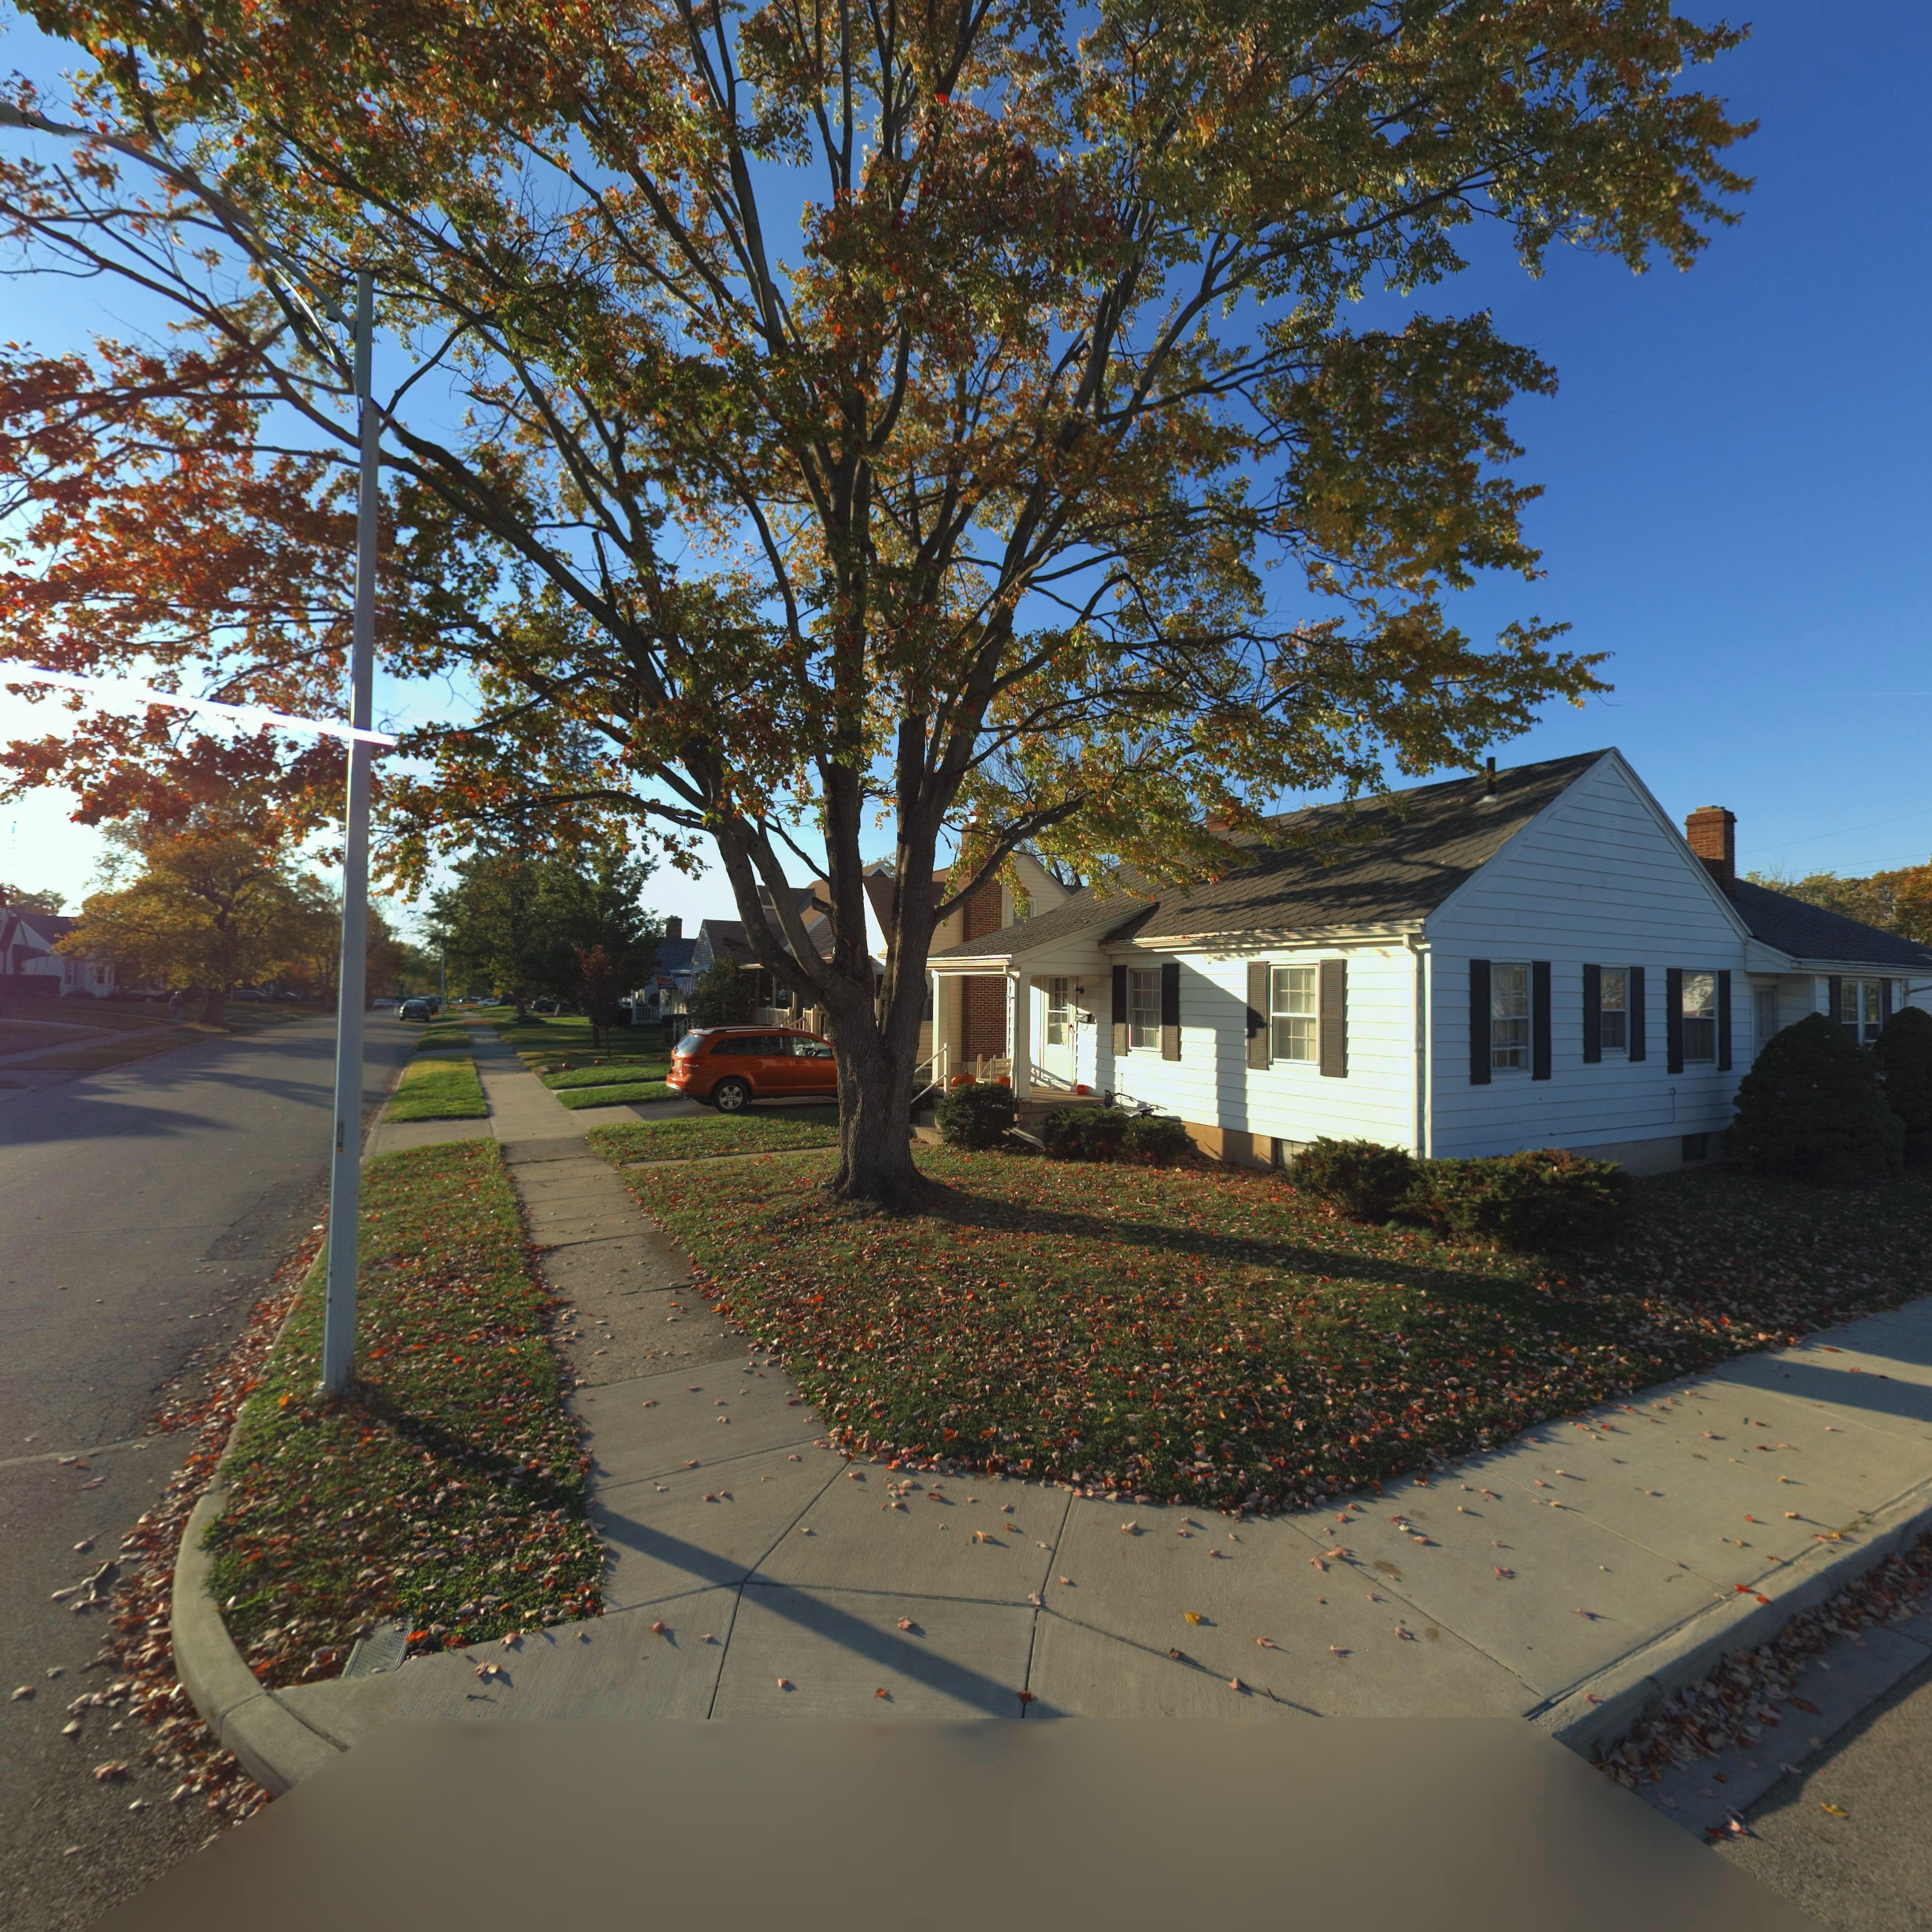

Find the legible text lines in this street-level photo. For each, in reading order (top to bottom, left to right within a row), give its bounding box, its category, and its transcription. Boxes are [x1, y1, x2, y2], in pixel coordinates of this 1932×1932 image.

[1081, 1004, 1090, 1012] StreetNumber: *57